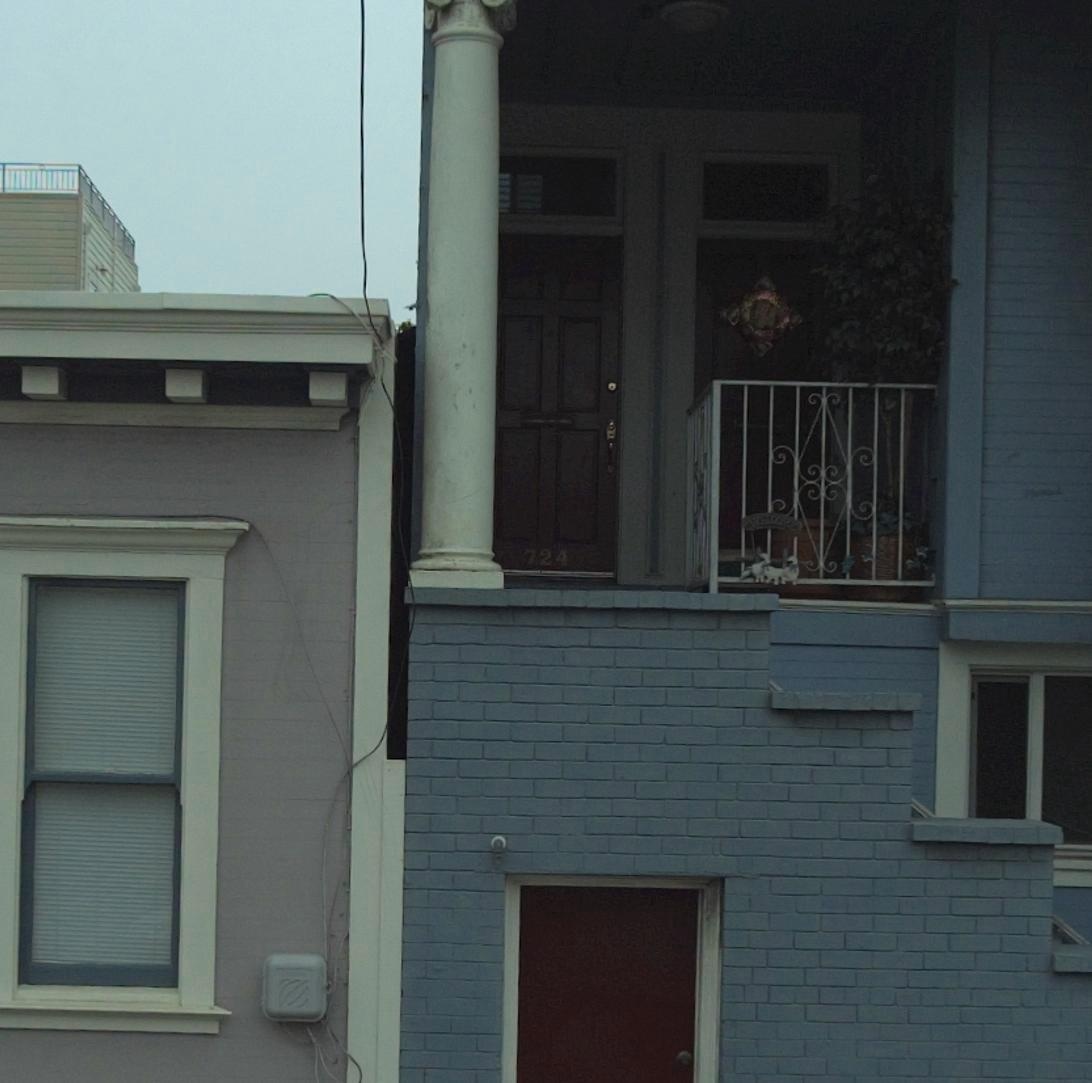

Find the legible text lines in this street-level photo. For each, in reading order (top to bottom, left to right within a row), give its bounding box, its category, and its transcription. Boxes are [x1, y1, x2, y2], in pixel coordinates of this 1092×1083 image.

[522, 547, 570, 569] StreetNumber: 724